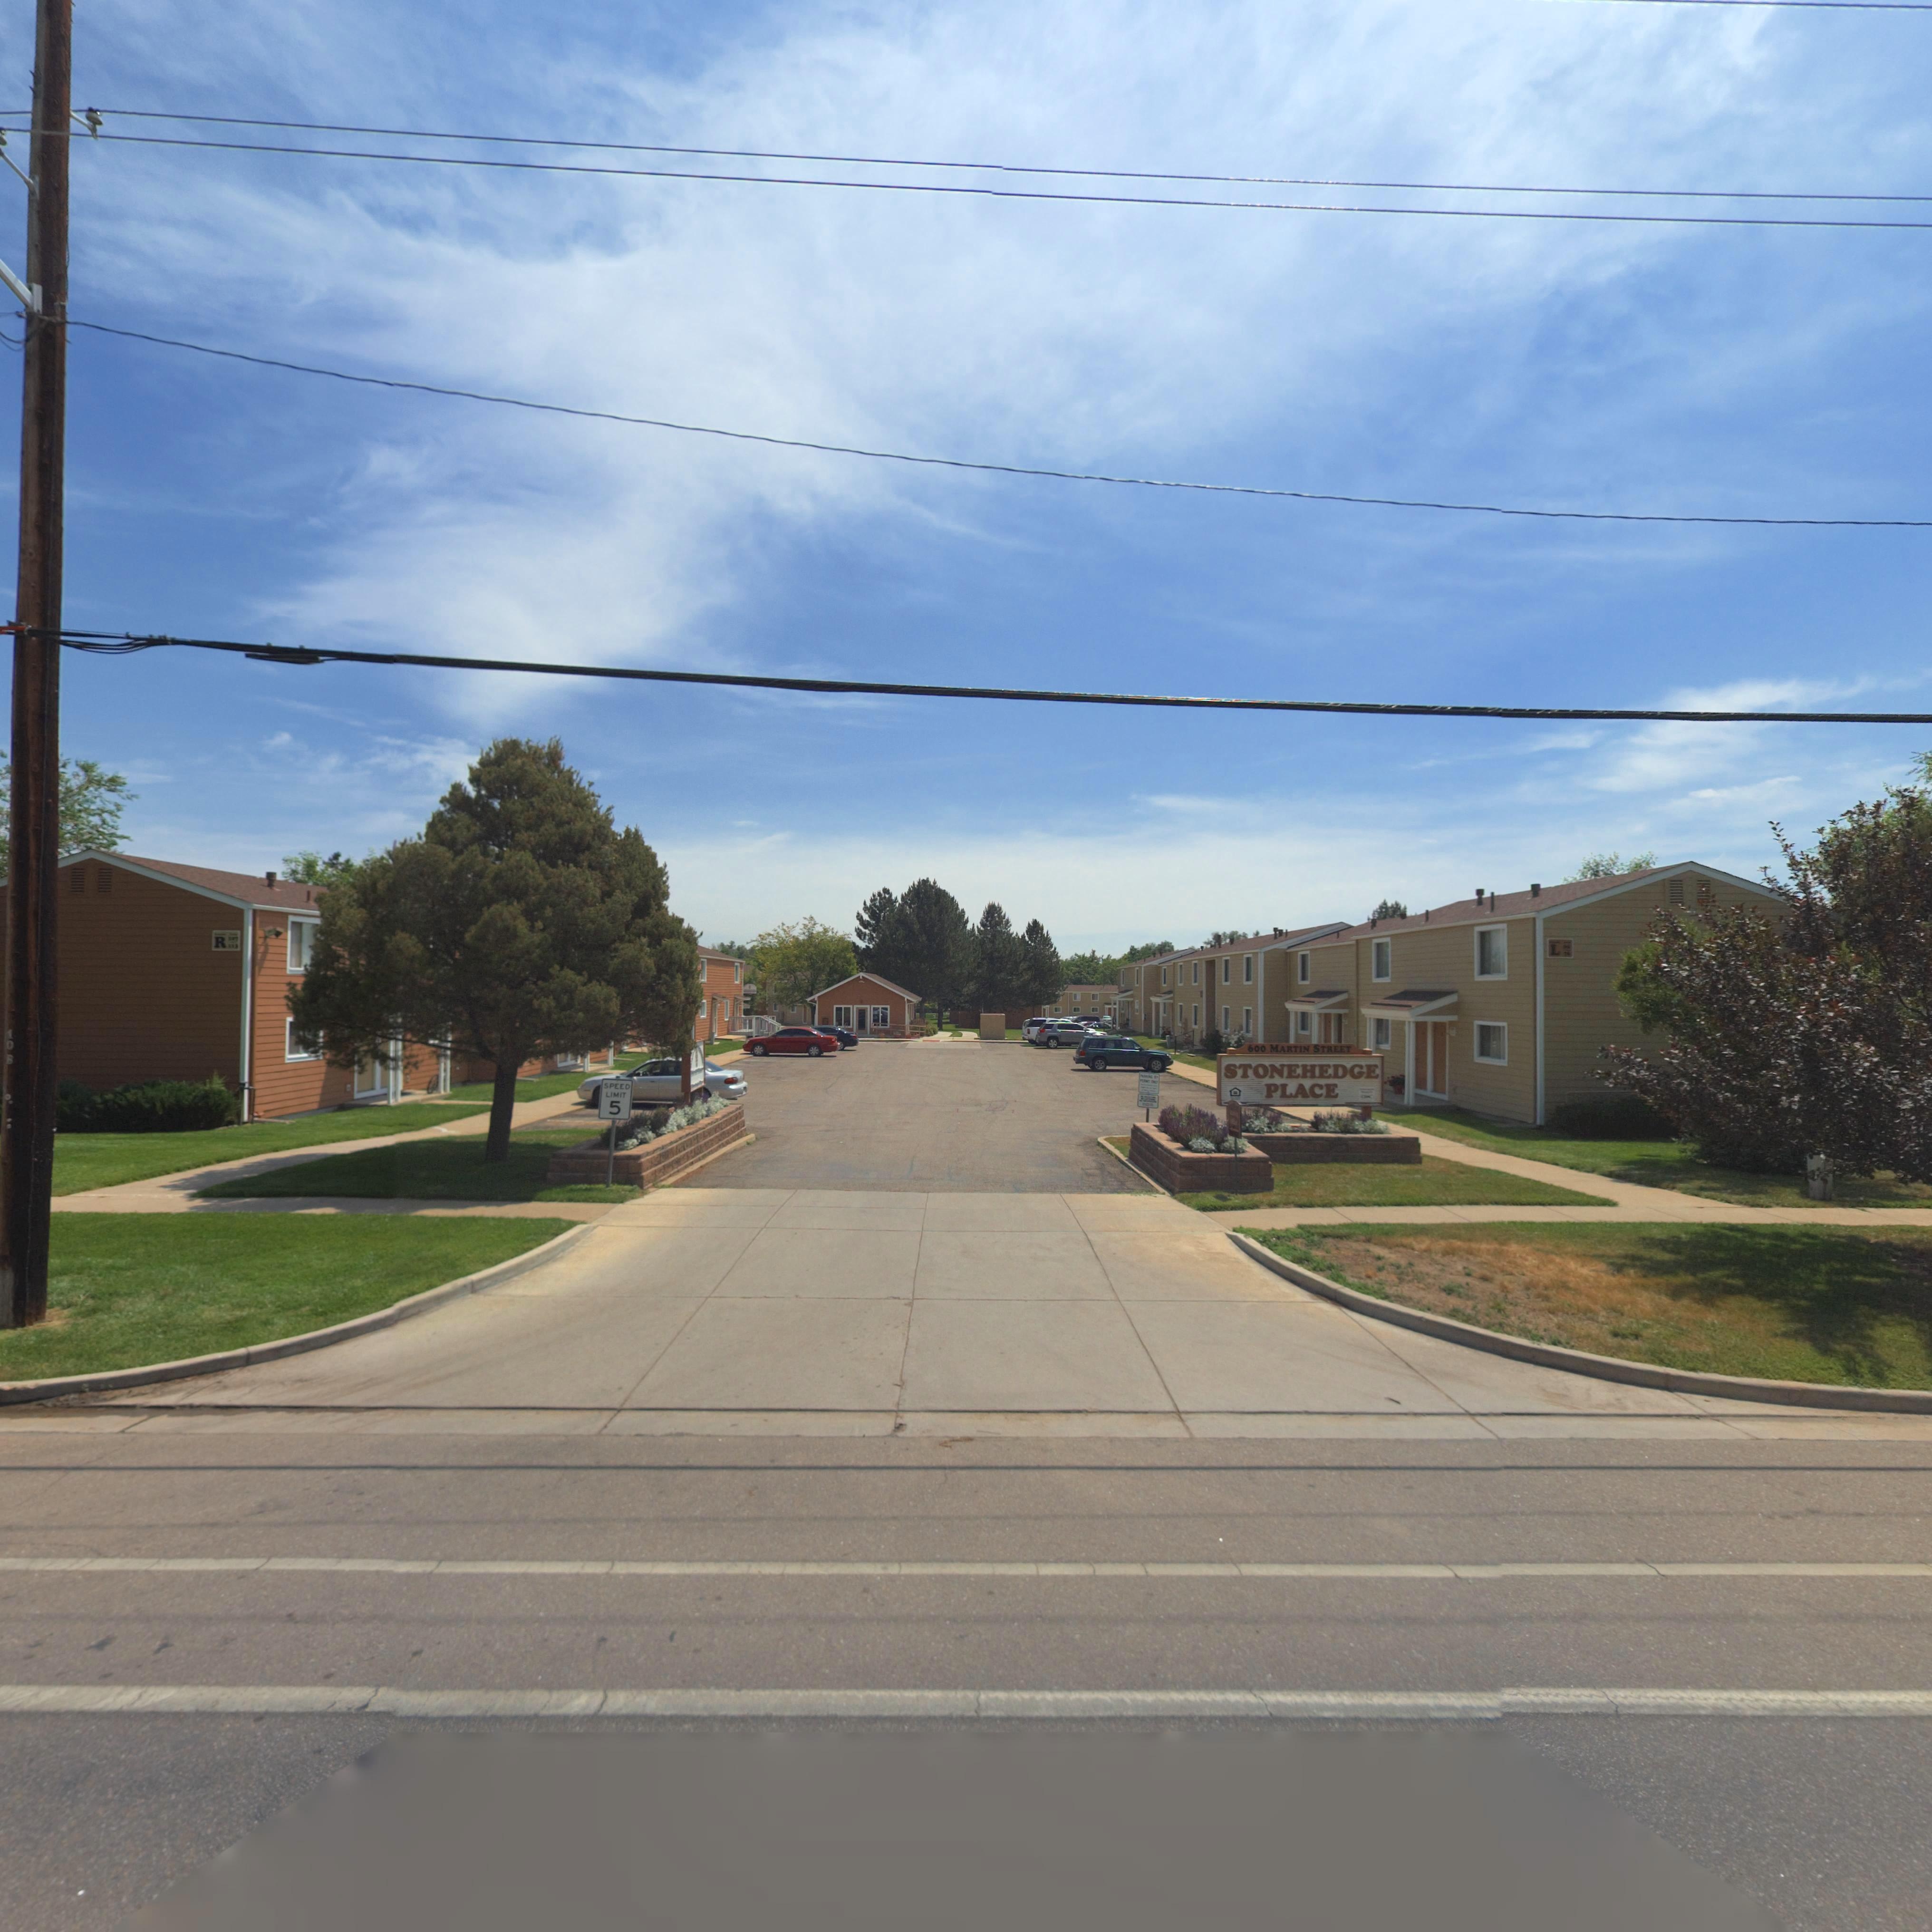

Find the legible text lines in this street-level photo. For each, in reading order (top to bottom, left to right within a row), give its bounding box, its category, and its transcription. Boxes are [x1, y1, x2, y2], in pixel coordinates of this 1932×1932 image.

[228, 944, 239, 949] StreetNumber: 113
[1247, 1044, 1266, 1053] StreetNumber: 600
[1269, 1044, 1352, 1053] StreetName: MARTIN STREET